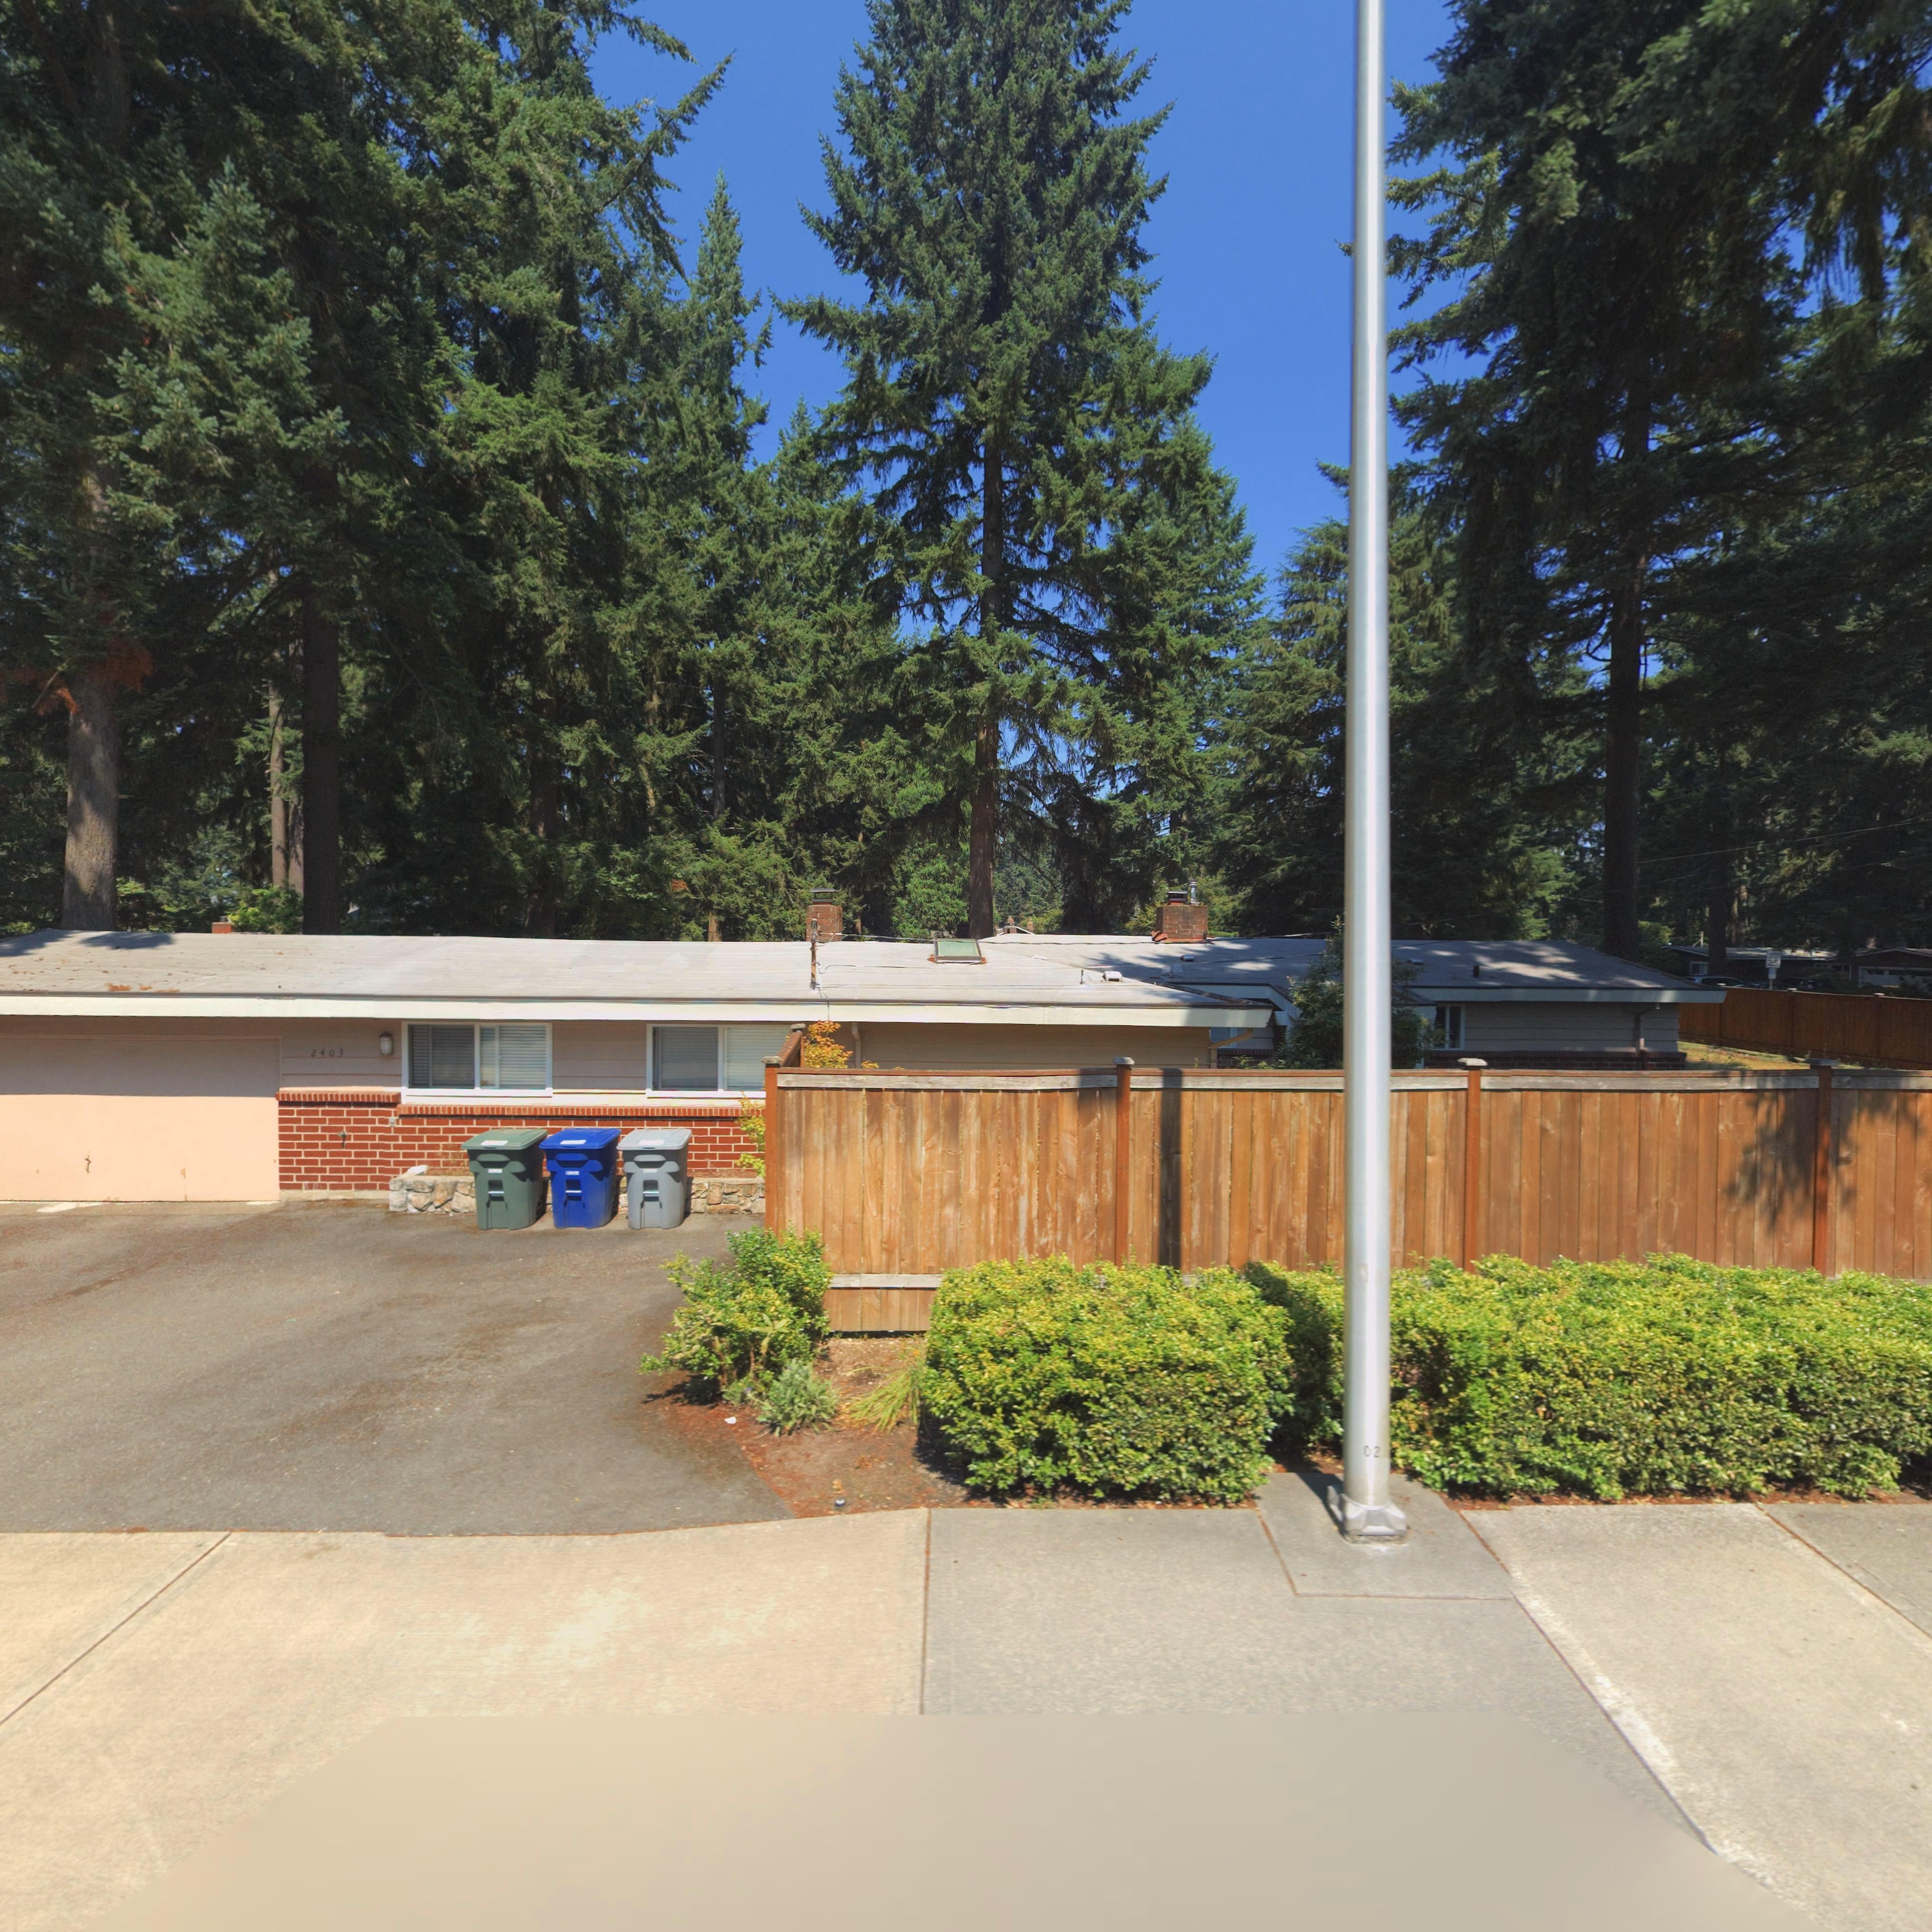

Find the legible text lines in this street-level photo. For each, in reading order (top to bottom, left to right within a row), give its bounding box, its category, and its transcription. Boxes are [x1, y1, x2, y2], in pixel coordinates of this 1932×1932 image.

[310, 1047, 344, 1057] StreetNumber: 2403